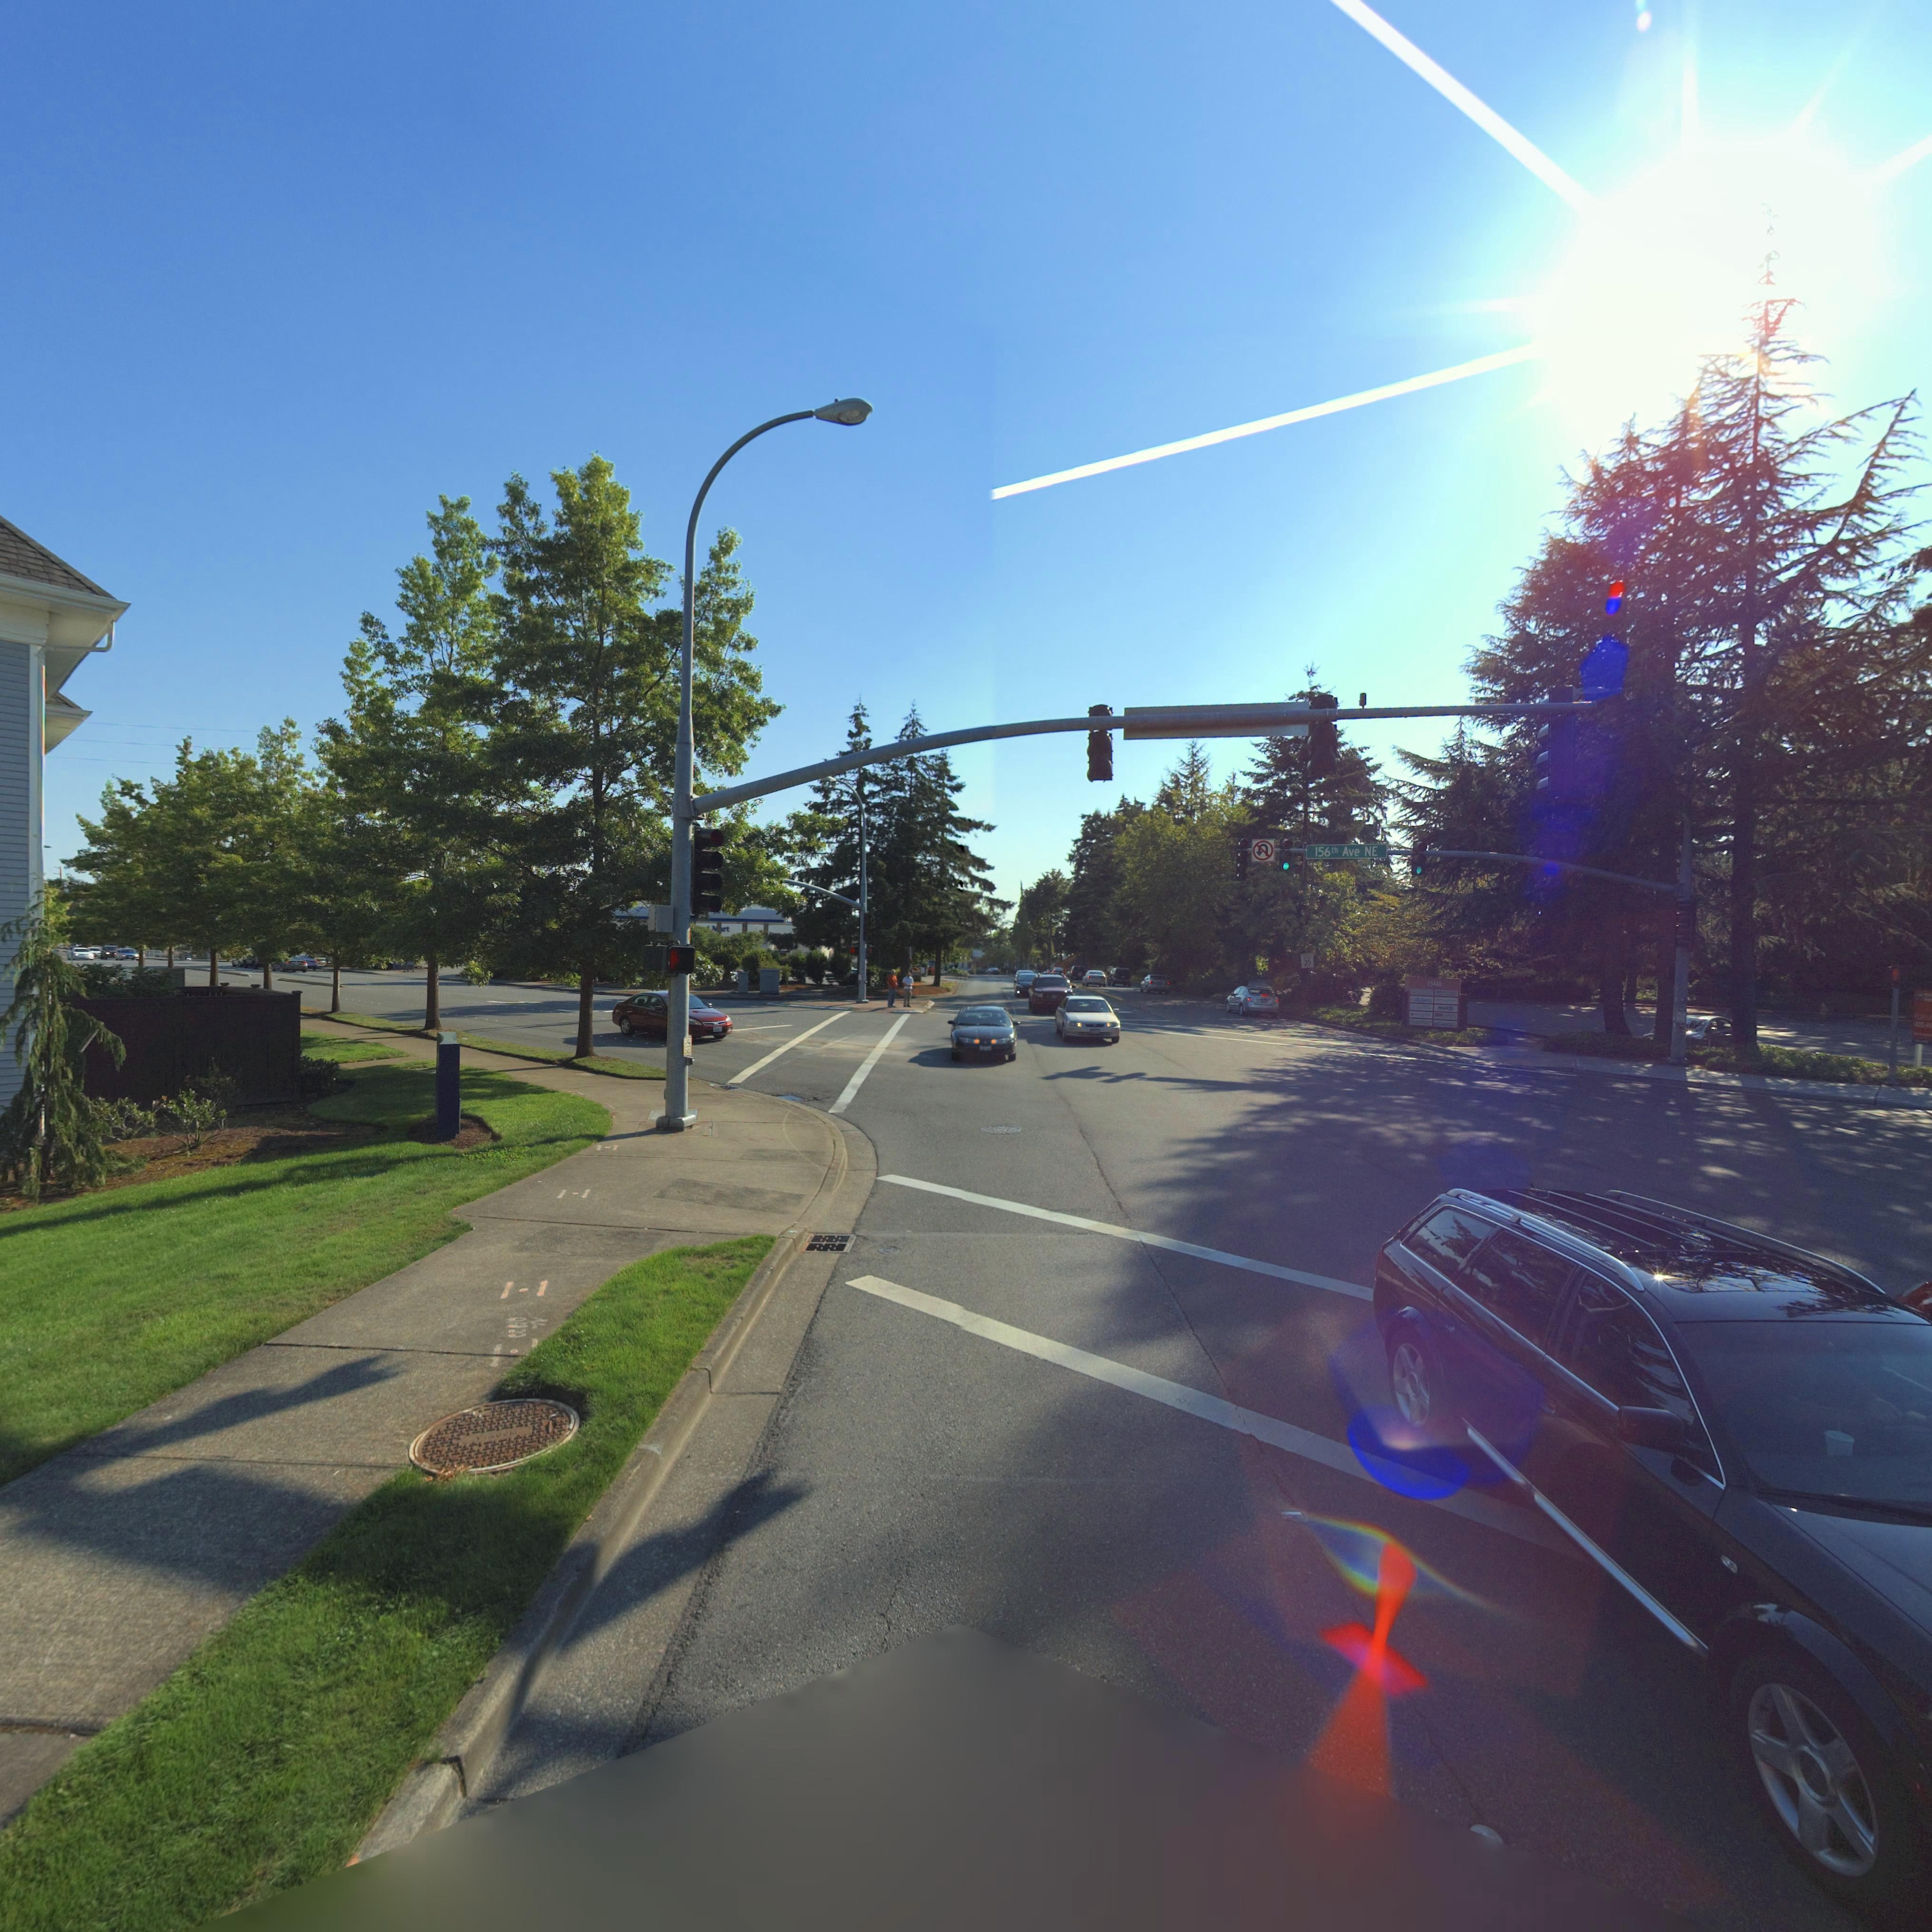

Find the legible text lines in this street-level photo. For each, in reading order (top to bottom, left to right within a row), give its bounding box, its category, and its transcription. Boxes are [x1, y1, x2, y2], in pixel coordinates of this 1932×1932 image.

[1314, 846, 1377, 856] StreetName: 156th Ave NE
[711, 925, 730, 932] BusinessName: **rt
[1427, 980, 1442, 986] StreetNumber: 15446
[1411, 996, 1432, 1002] BusinessName: Col****
[1437, 1006, 1449, 1010] BusinessName: MAO